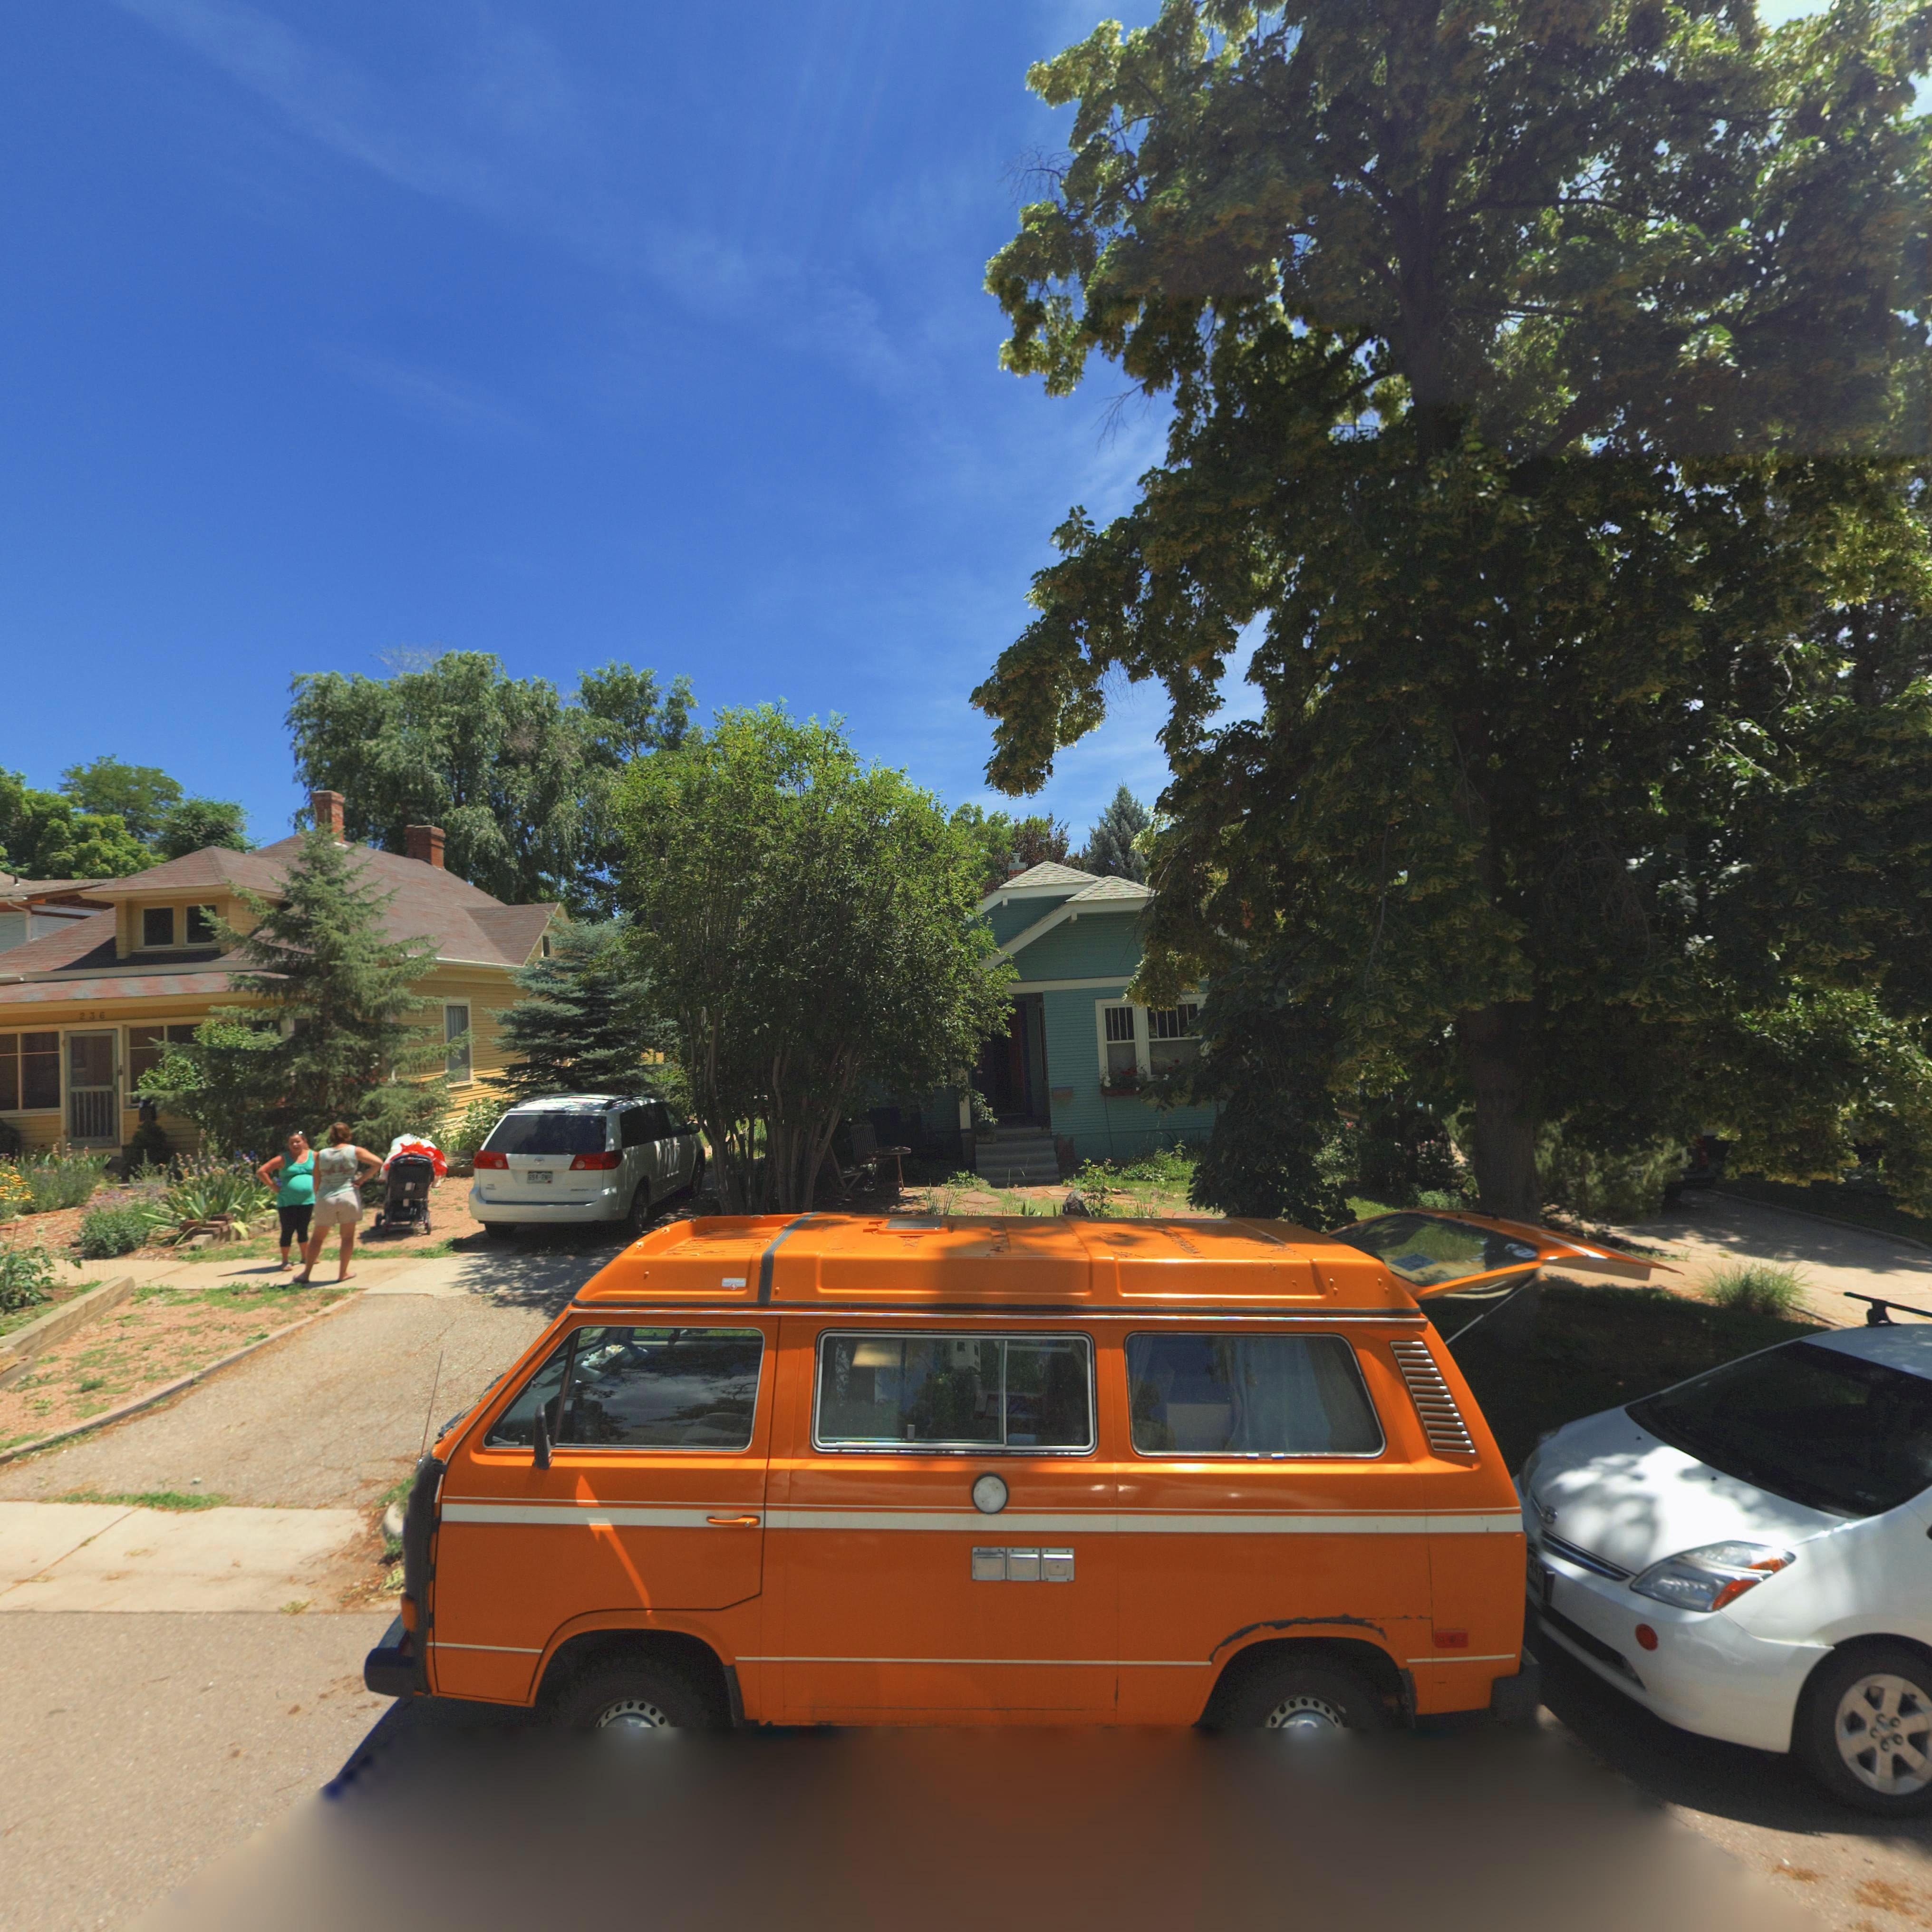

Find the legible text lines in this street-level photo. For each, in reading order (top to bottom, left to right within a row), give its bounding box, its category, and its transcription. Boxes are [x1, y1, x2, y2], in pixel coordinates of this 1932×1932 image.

[79, 1011, 105, 1019] StreetNumber: 236